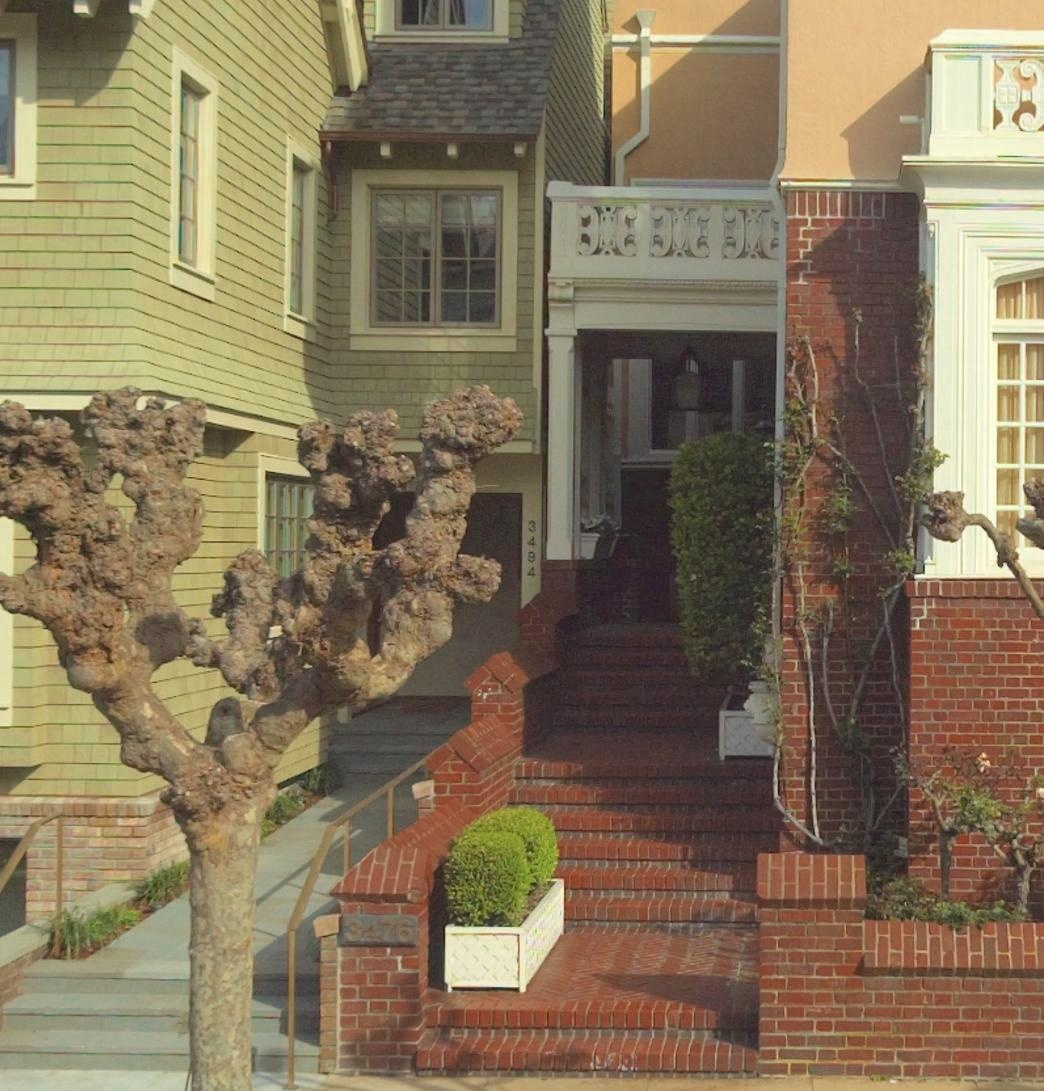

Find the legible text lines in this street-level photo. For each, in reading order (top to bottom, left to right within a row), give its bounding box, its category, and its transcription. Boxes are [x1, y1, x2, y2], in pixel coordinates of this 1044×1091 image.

[525, 517, 538, 580] StreetNumber: 3494
[340, 915, 417, 945] StreetNumber: 3476